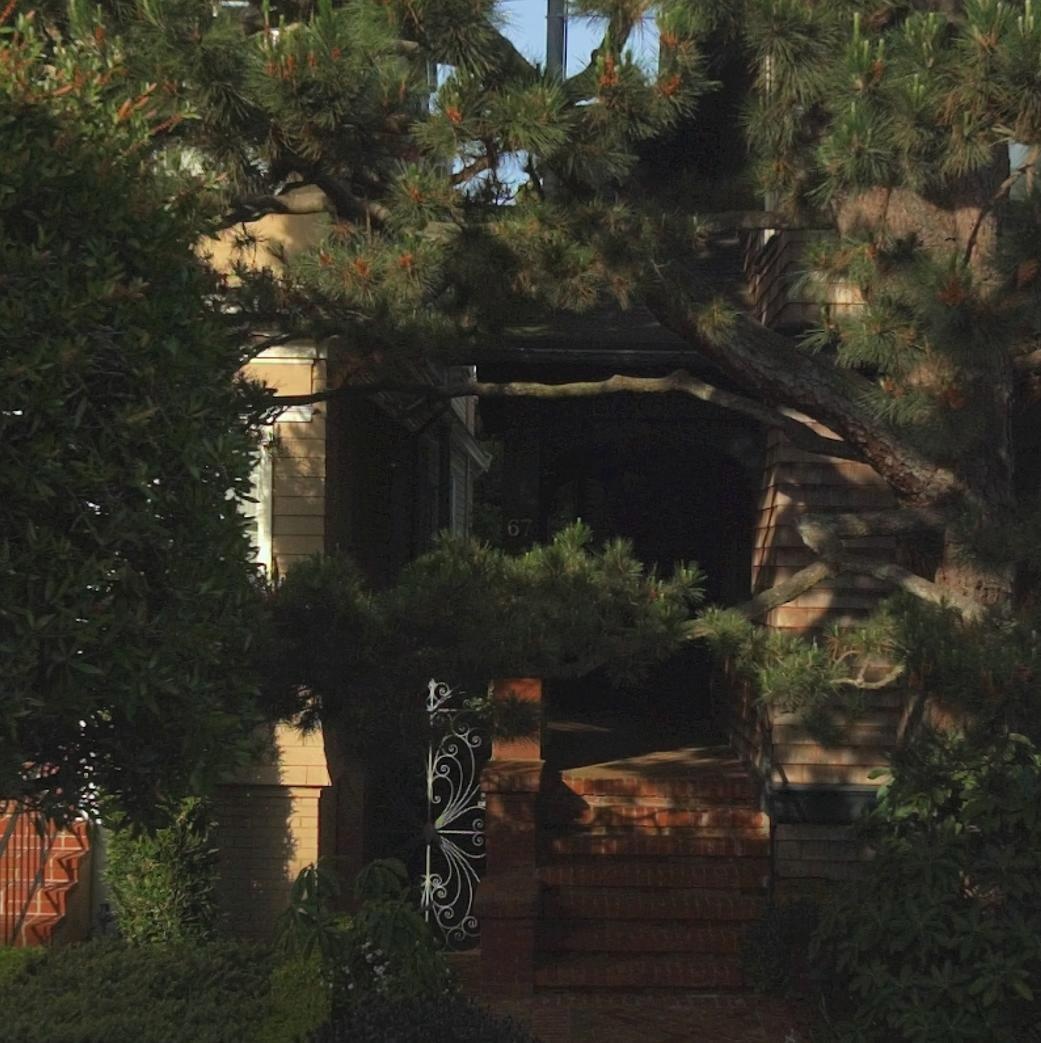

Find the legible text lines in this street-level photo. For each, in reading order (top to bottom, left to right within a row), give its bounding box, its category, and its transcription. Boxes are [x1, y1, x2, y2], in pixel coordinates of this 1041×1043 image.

[505, 516, 536, 539] StreetNumber: 67